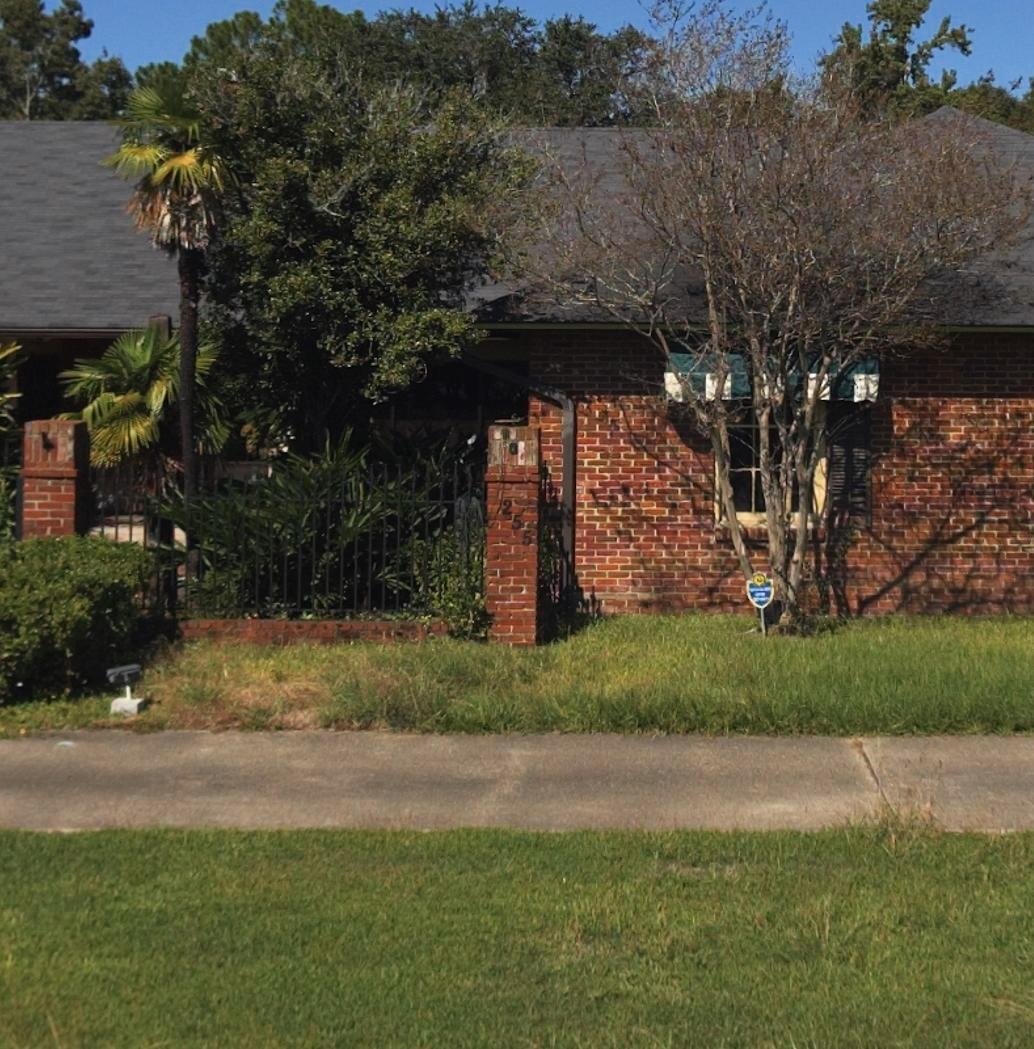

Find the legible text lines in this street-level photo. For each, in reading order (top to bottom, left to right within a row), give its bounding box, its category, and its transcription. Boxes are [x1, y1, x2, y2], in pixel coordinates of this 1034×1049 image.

[501, 498, 533, 550] StreetNumber: 255